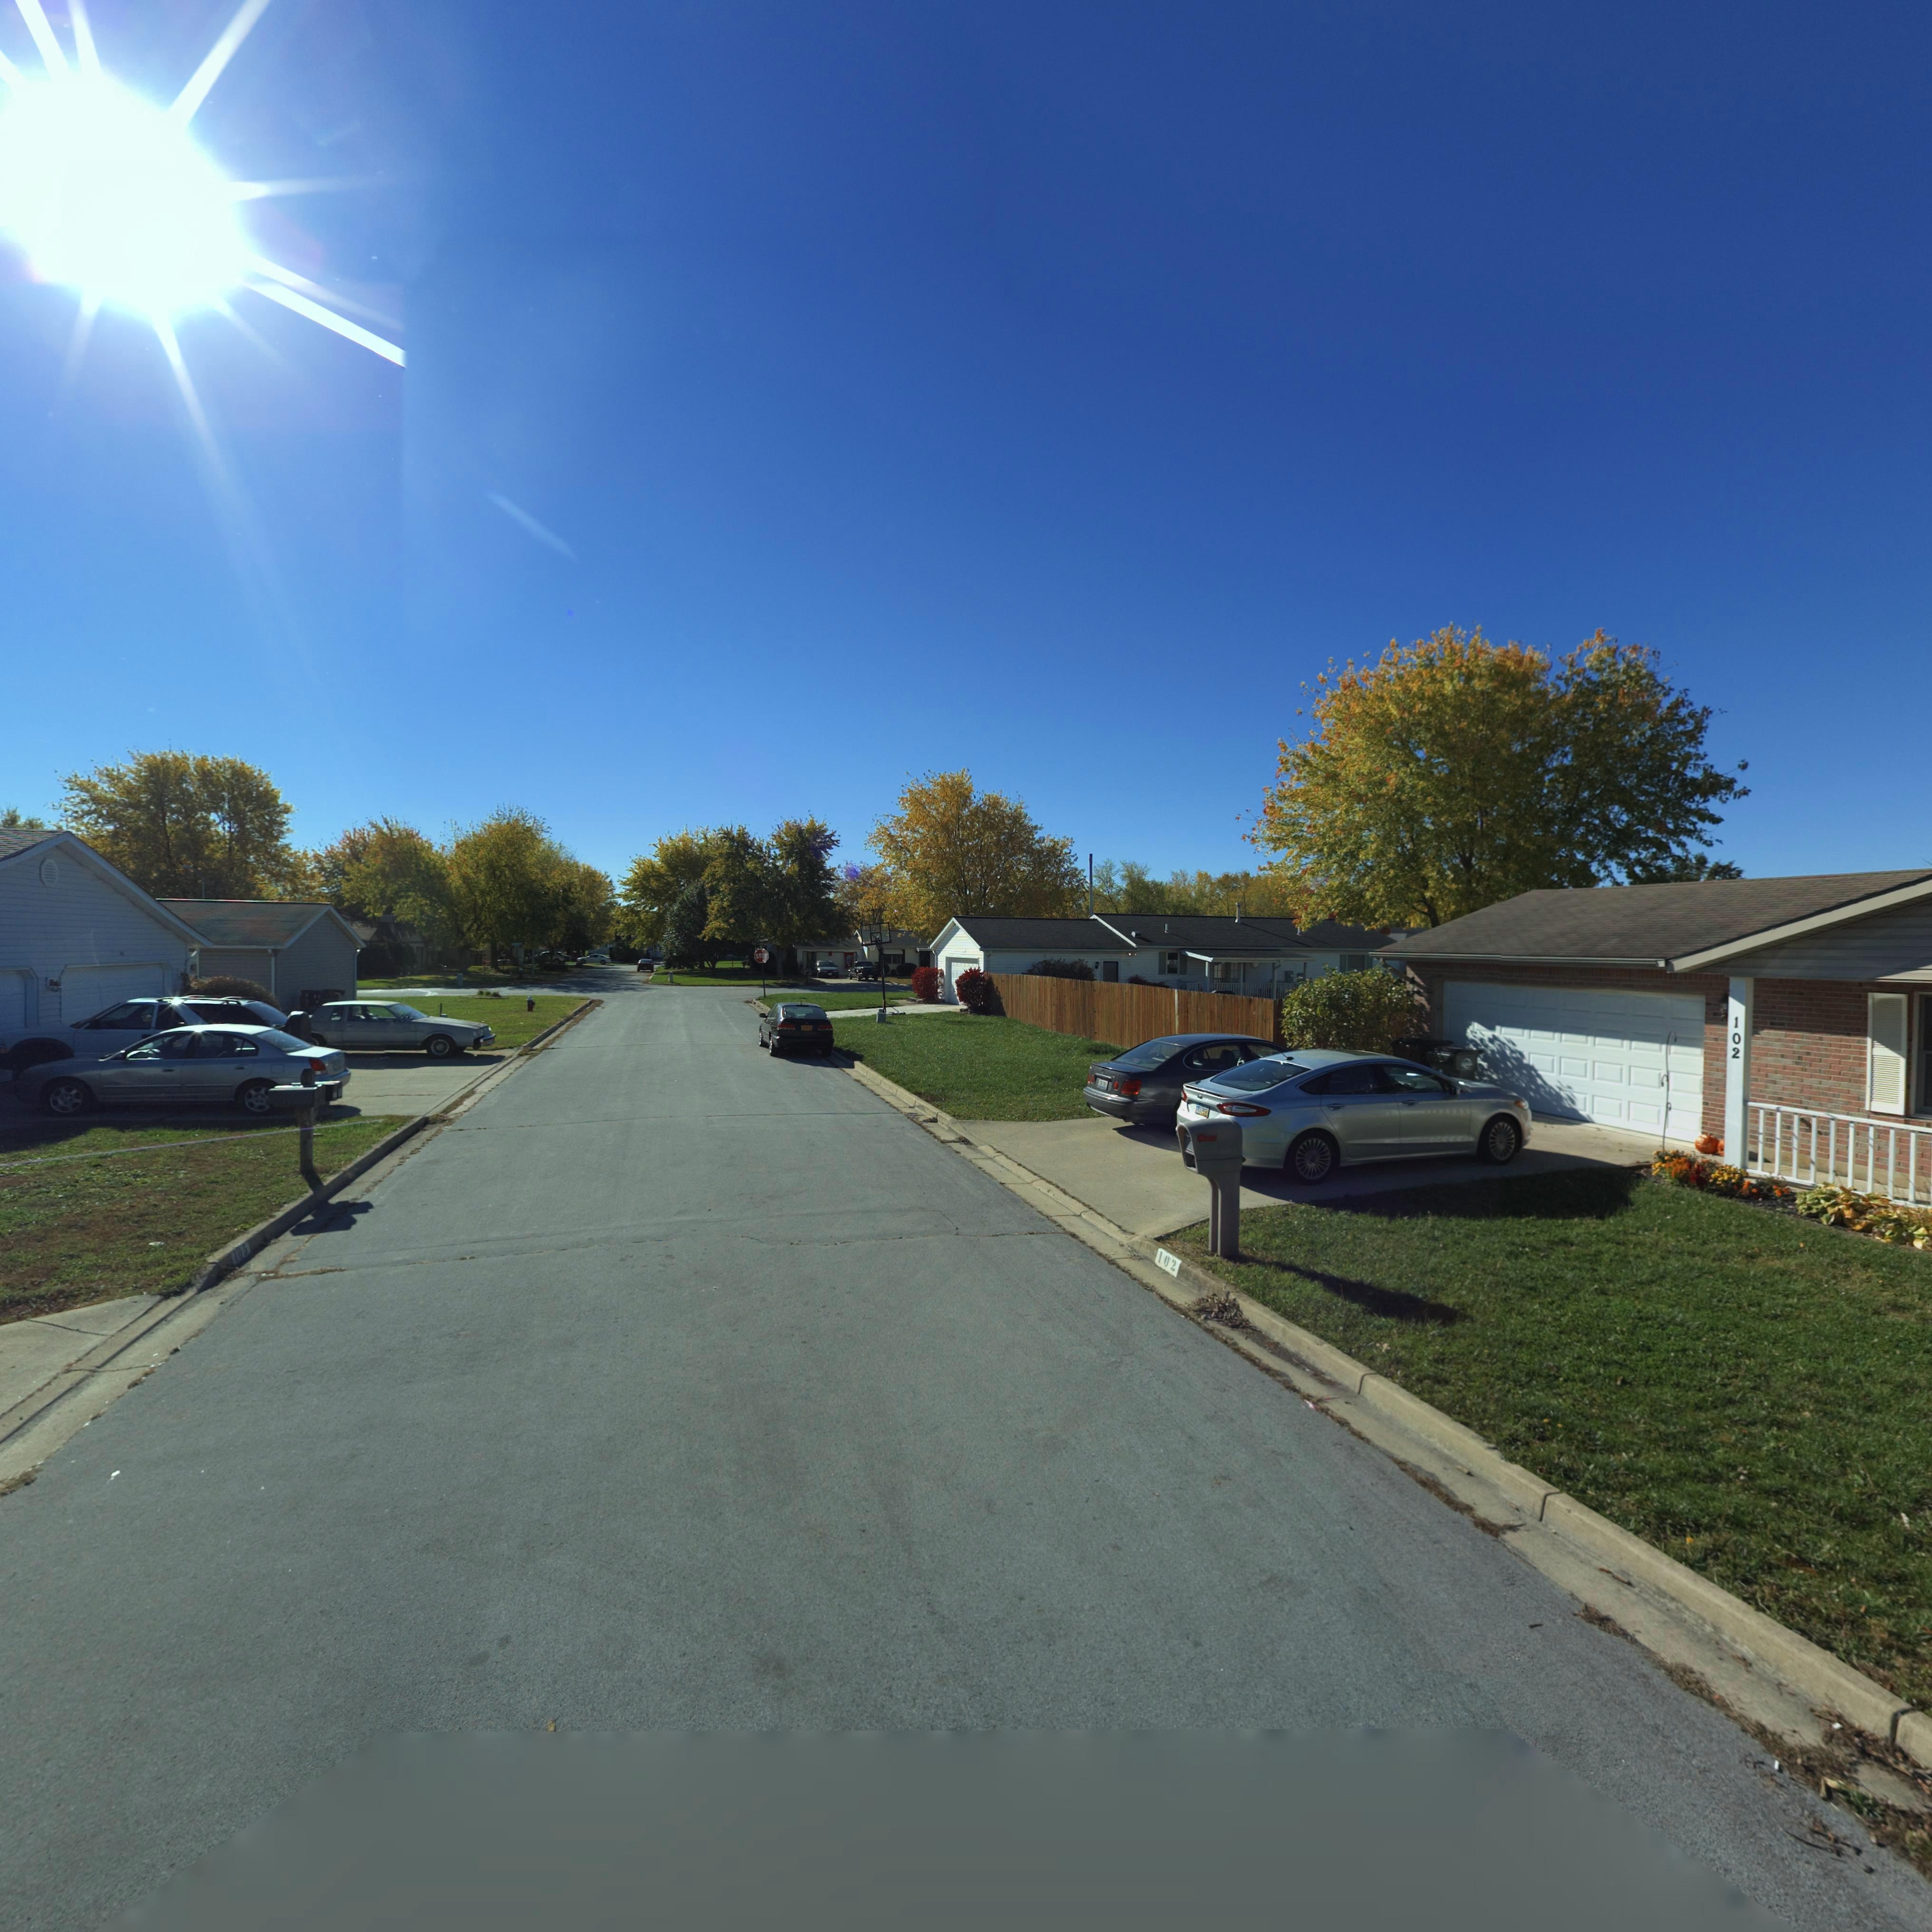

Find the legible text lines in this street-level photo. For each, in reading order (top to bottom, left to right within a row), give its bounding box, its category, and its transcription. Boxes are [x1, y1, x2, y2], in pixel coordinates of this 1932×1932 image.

[1730, 1015, 1741, 1060] StreetNumber: 102
[232, 1242, 250, 1265] StreetNumber: 105
[1157, 1250, 1179, 1273] StreetNumber: 102